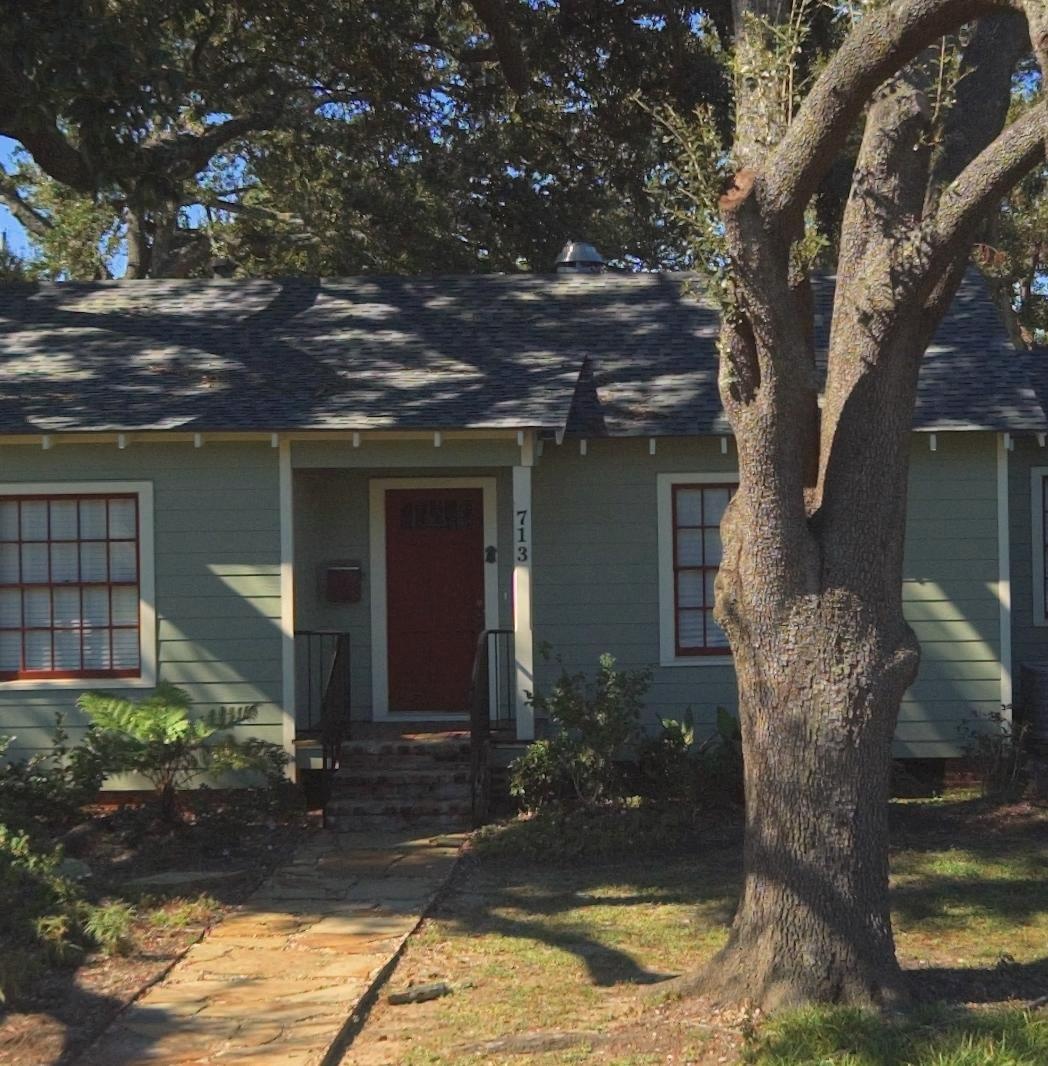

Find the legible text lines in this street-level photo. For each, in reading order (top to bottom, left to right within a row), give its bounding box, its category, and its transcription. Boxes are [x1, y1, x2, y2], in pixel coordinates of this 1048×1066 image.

[517, 509, 528, 563] StreetNumber: 713